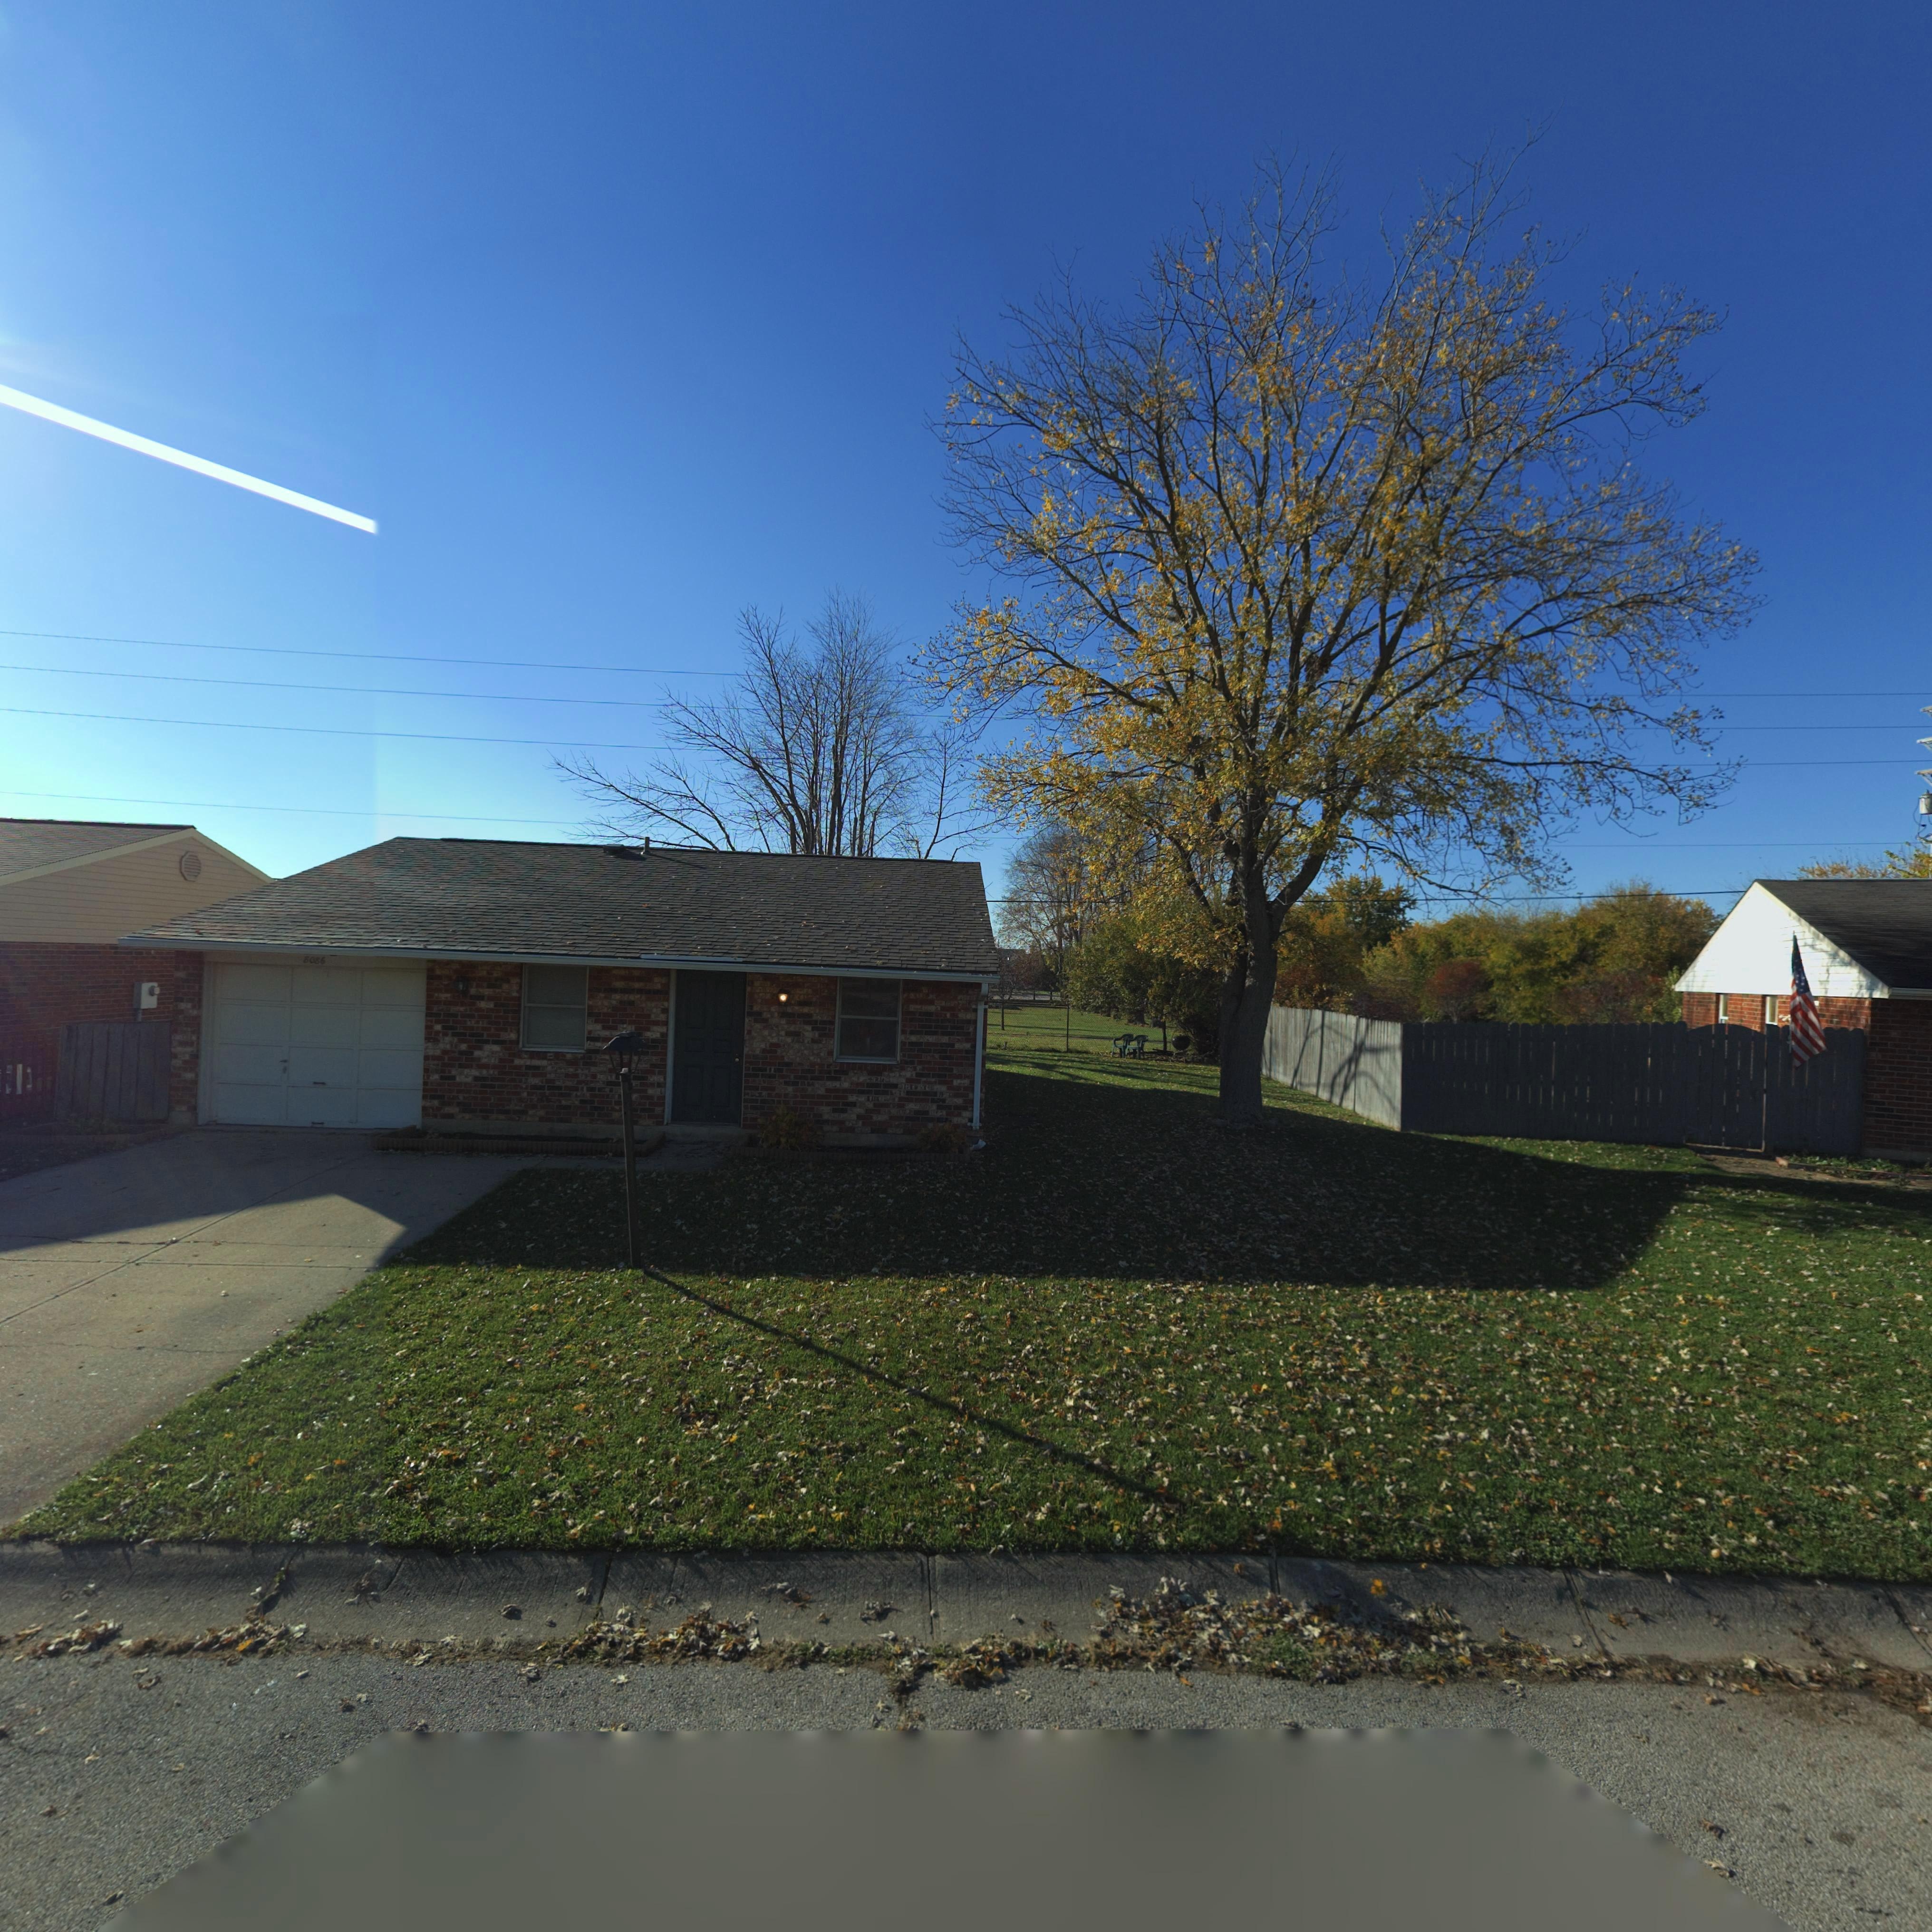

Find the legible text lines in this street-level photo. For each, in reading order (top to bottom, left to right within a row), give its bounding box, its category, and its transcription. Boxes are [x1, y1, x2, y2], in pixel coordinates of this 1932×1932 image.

[302, 955, 327, 966] StreetNumber: 8086